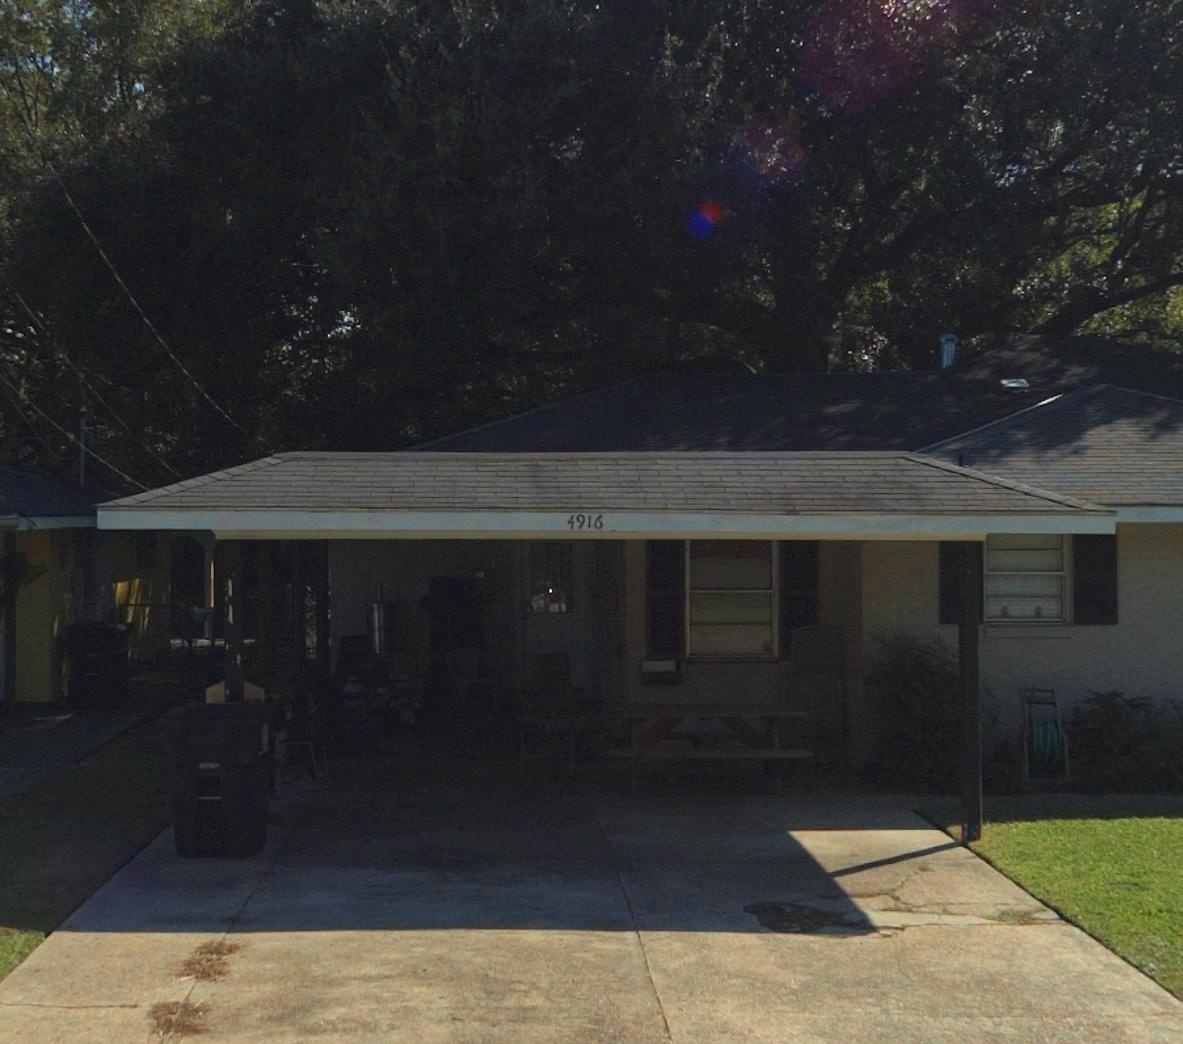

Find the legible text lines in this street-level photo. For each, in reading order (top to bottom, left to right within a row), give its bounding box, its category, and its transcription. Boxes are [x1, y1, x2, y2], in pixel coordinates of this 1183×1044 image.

[566, 513, 604, 530] StreetNumber: 4916